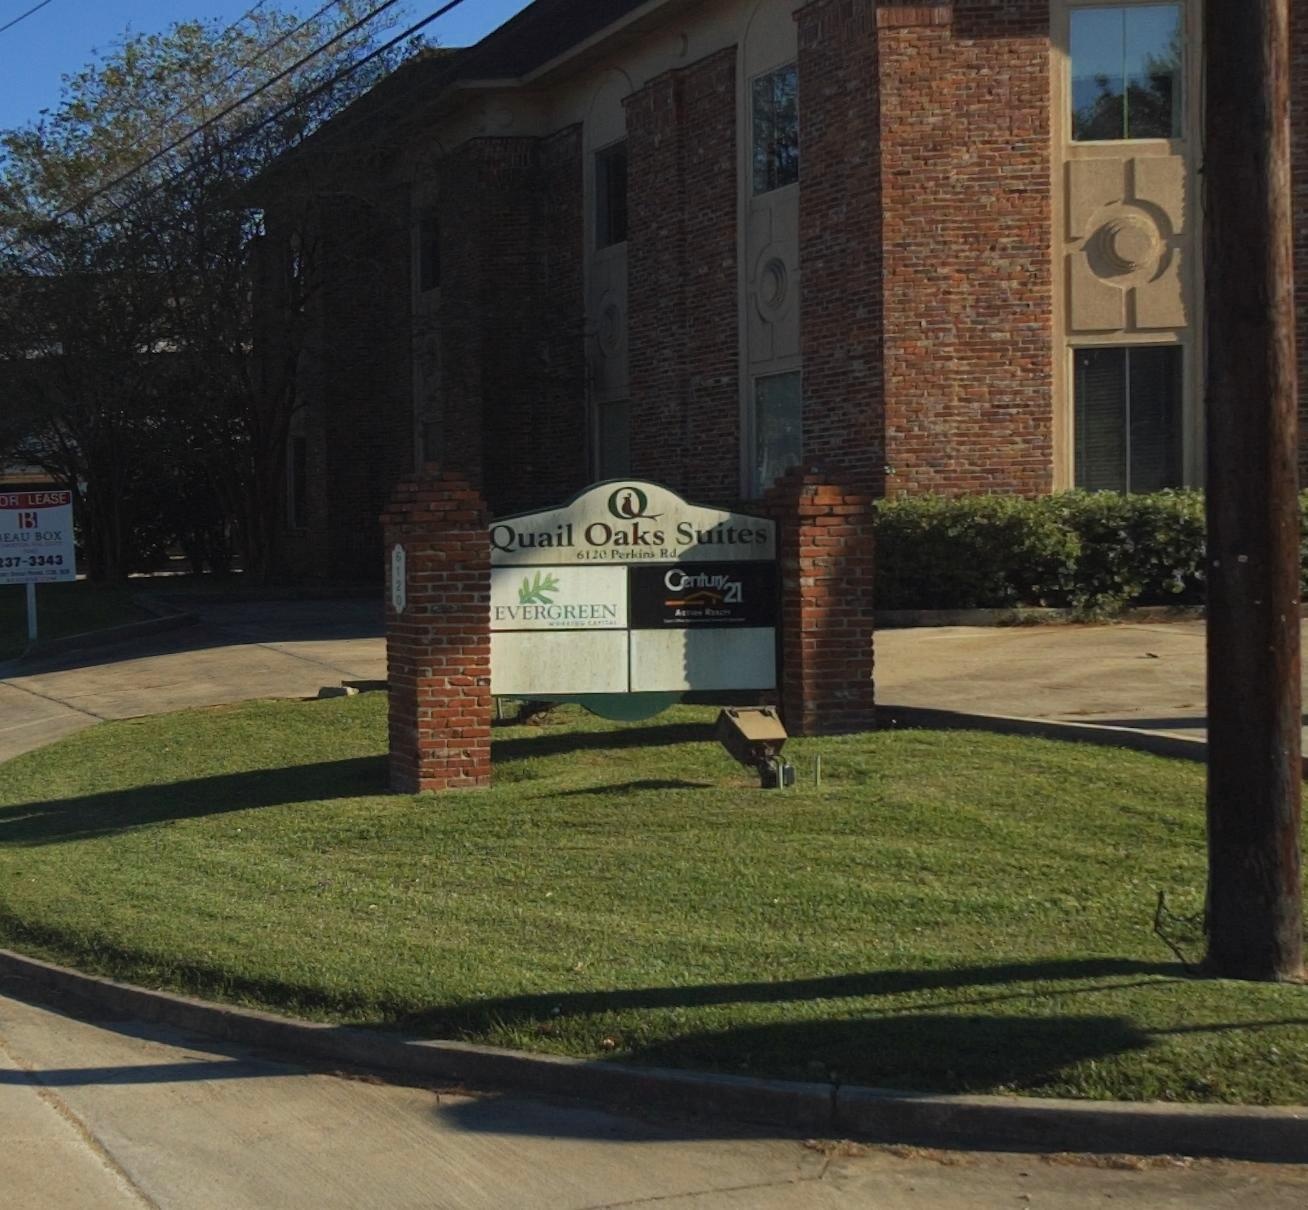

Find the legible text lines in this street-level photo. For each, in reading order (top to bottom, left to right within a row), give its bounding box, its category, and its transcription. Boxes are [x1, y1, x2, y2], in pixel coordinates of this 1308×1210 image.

[0, 492, 68, 508] None: *R LEASE
[20, 510, 38, 530] None: B
[2, 529, 63, 543] None: EAU BOX
[488, 521, 769, 554] BusinessName: Quail Oaks Suites
[3, 553, 64, 569] None: 37-334
[576, 549, 608, 560] StreetNumber: 6120
[610, 547, 678, 561] StreetName: Perkins Rd.
[394, 549, 404, 606] StreetNumber: 6120
[663, 567, 731, 593] BusinessName: Century
[722, 581, 746, 605] BusinessName: 21
[493, 602, 618, 623] BusinessName: EVERGREEN